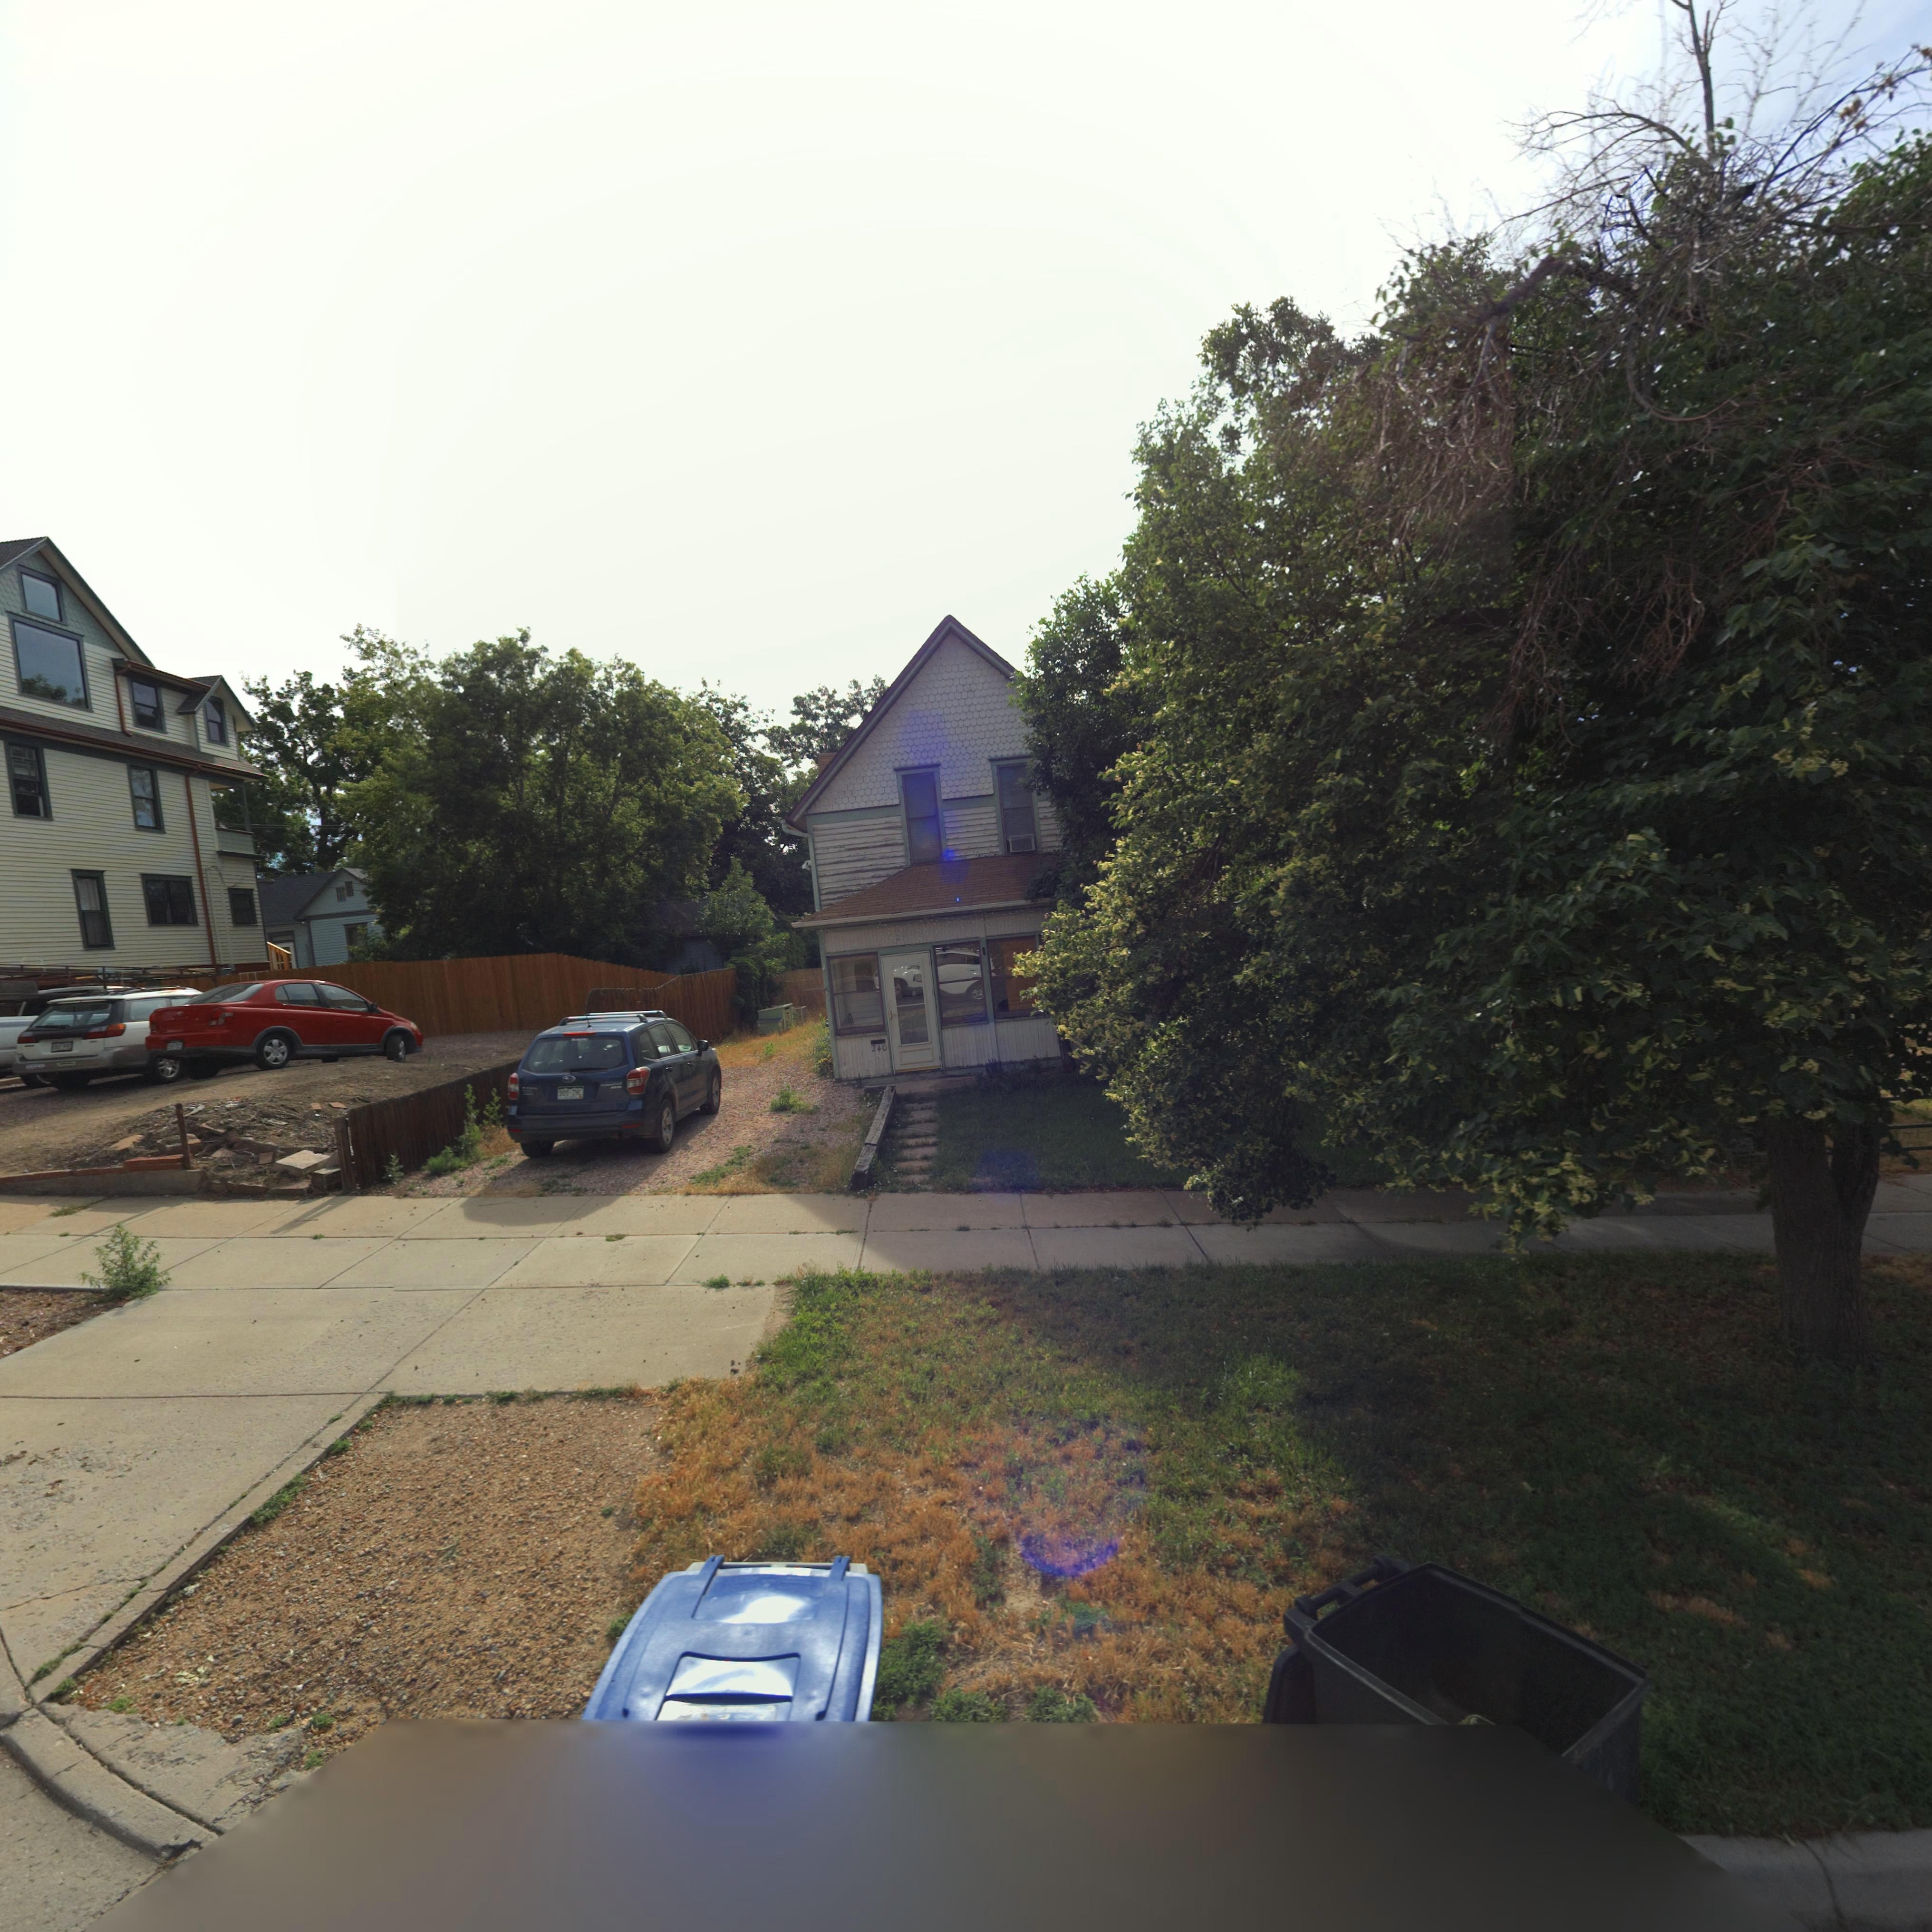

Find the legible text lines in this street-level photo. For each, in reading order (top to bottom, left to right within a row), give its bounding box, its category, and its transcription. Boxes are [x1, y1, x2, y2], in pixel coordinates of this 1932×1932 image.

[896, 932, 909, 940] StreetNumber: 2*0
[871, 1043, 887, 1052] StreetNumber: 240